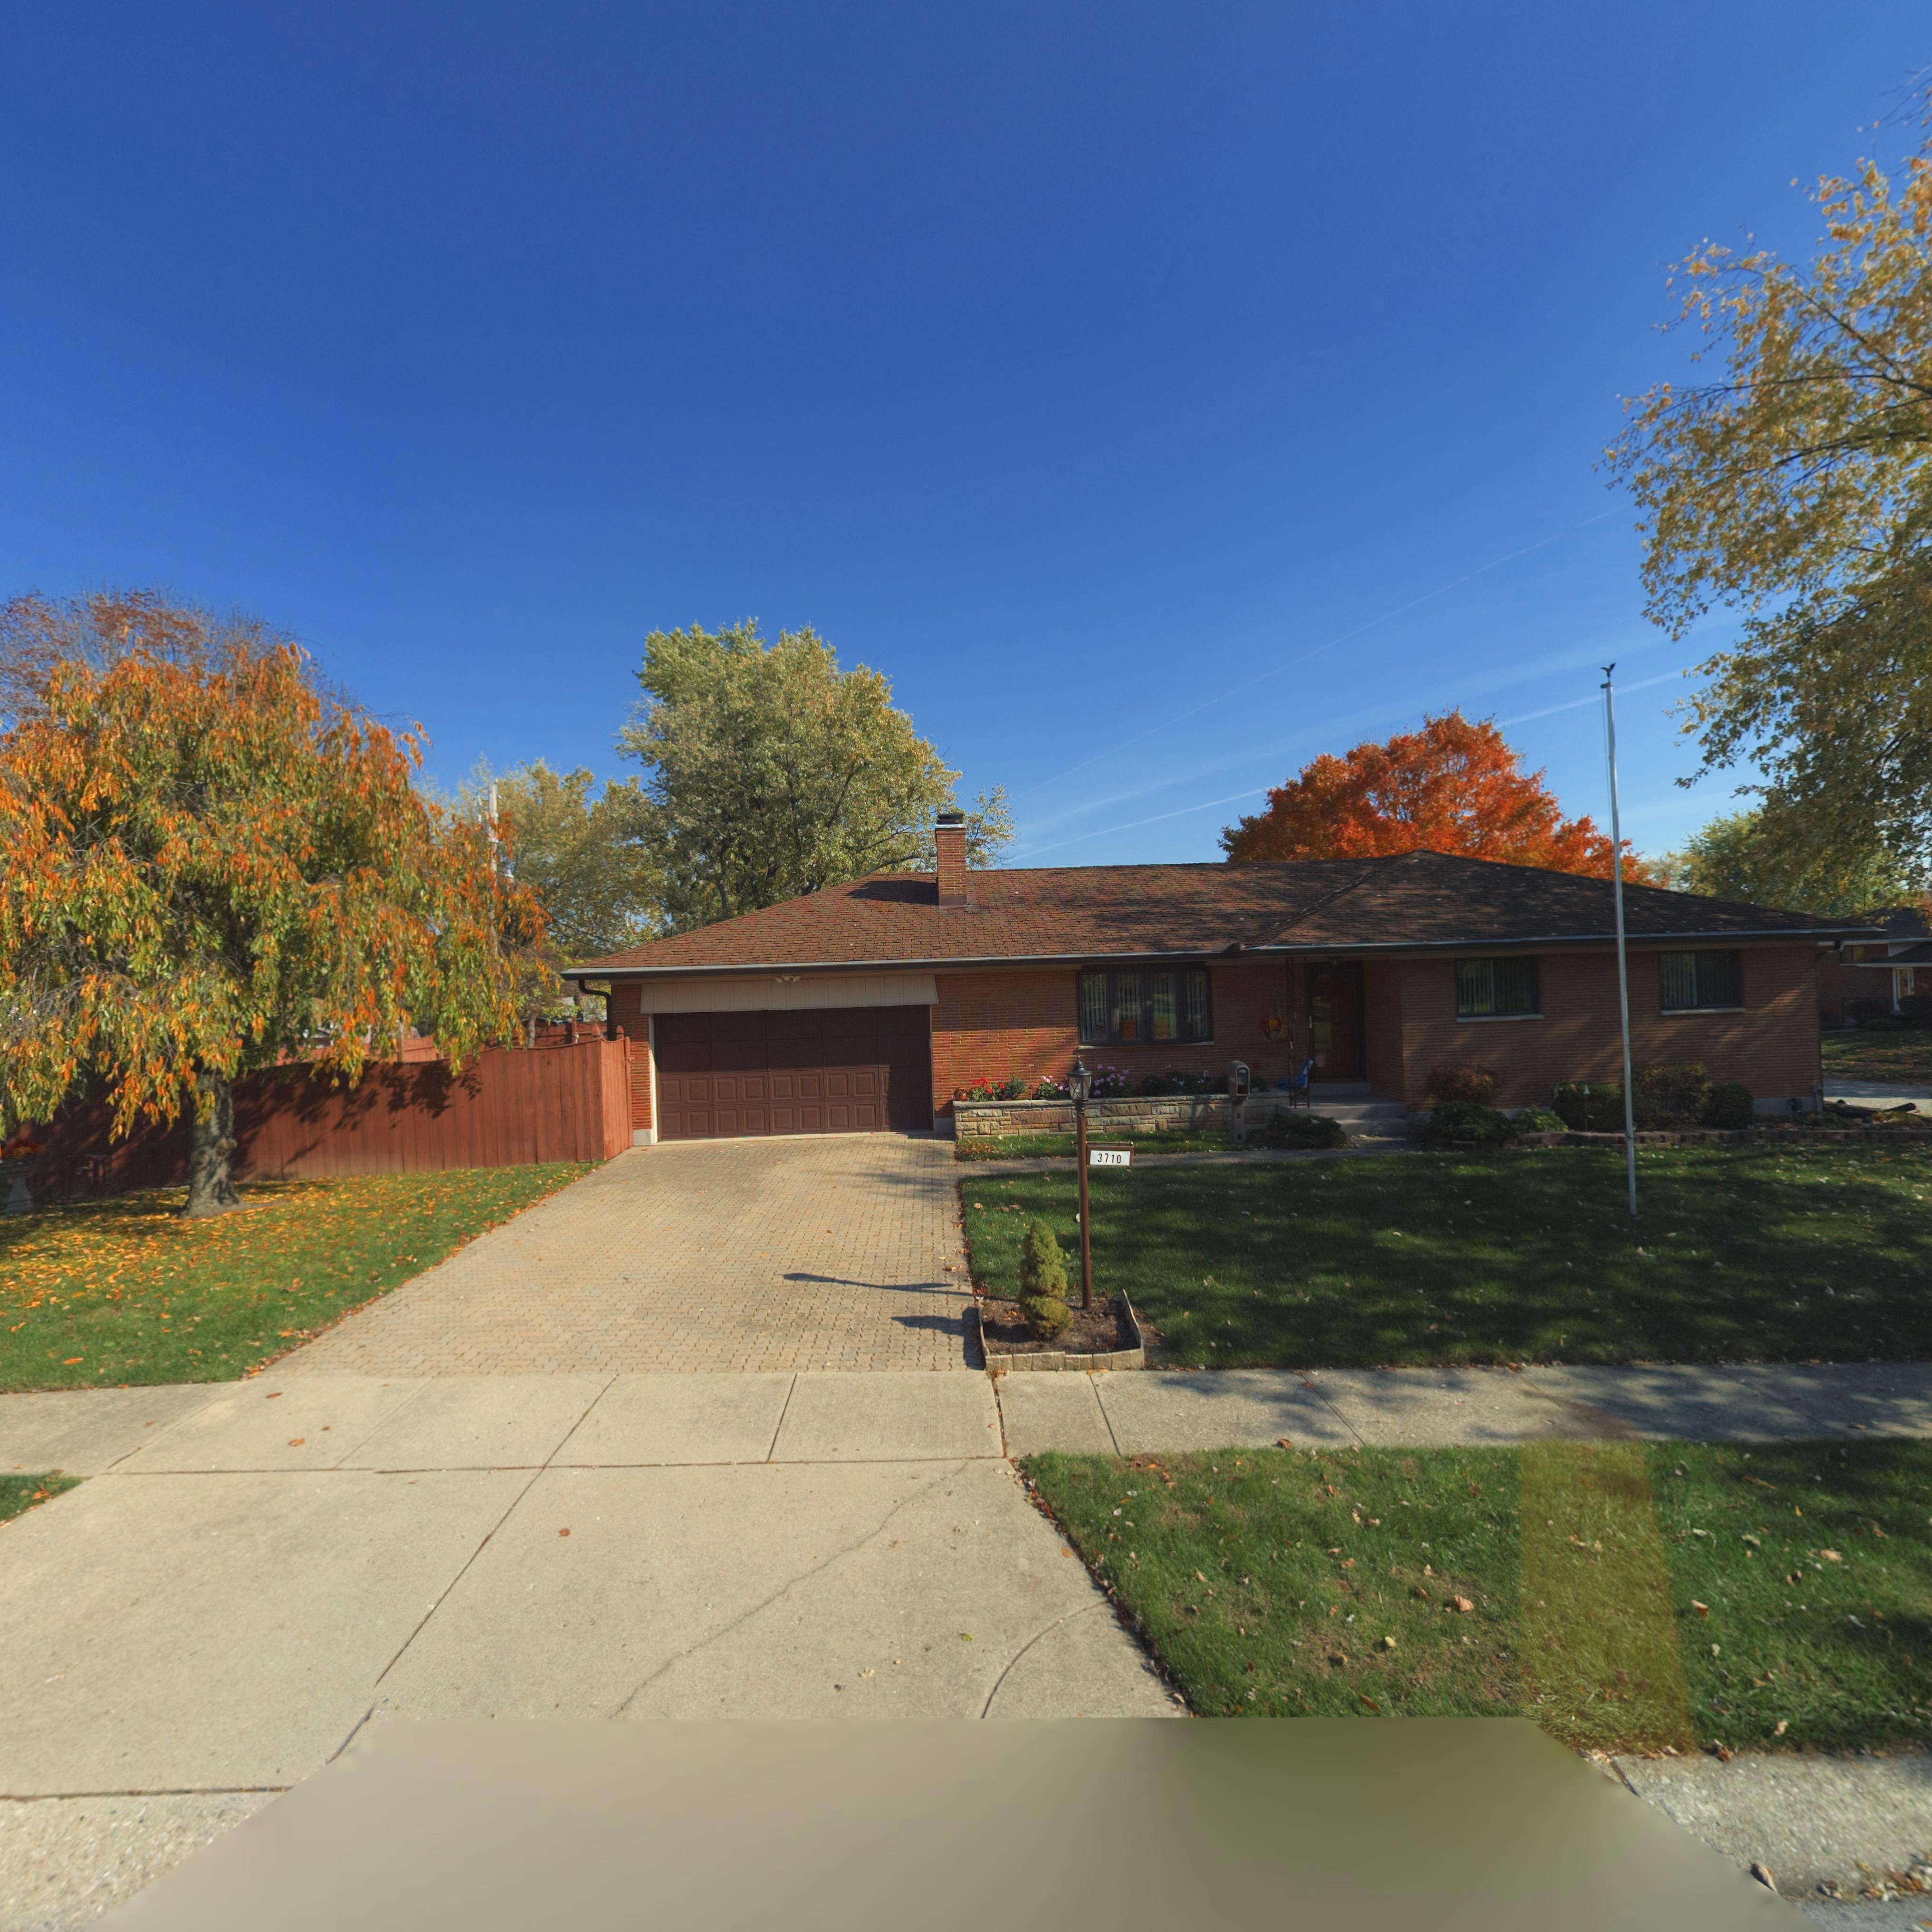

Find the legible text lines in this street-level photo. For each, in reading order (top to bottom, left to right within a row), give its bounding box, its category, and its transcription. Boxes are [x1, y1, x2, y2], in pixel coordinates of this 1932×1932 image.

[1096, 1152, 1122, 1165] StreetNumber: 3710